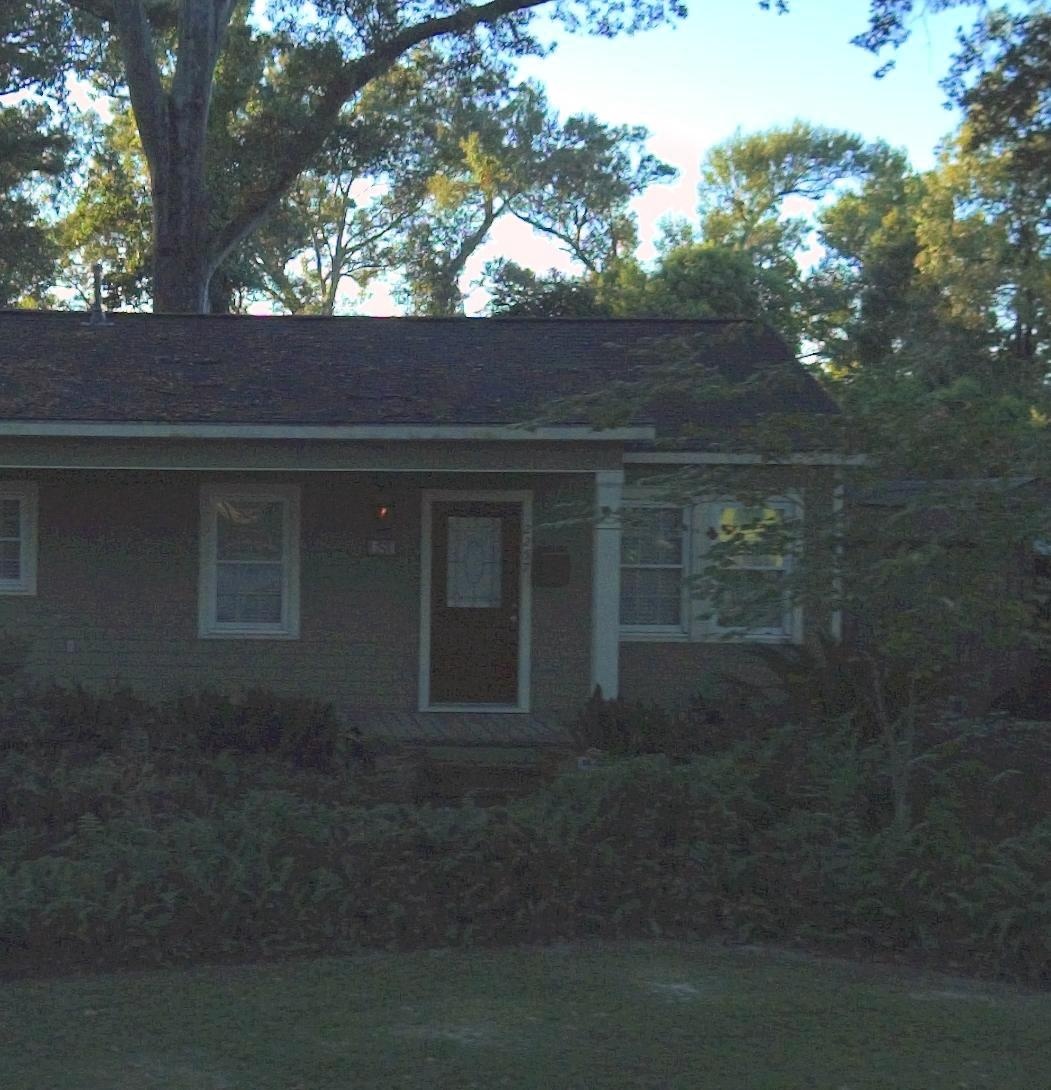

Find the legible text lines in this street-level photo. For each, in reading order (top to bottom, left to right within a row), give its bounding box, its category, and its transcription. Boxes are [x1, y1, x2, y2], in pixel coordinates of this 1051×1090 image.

[520, 522, 532, 574] StreetNumber: 2267